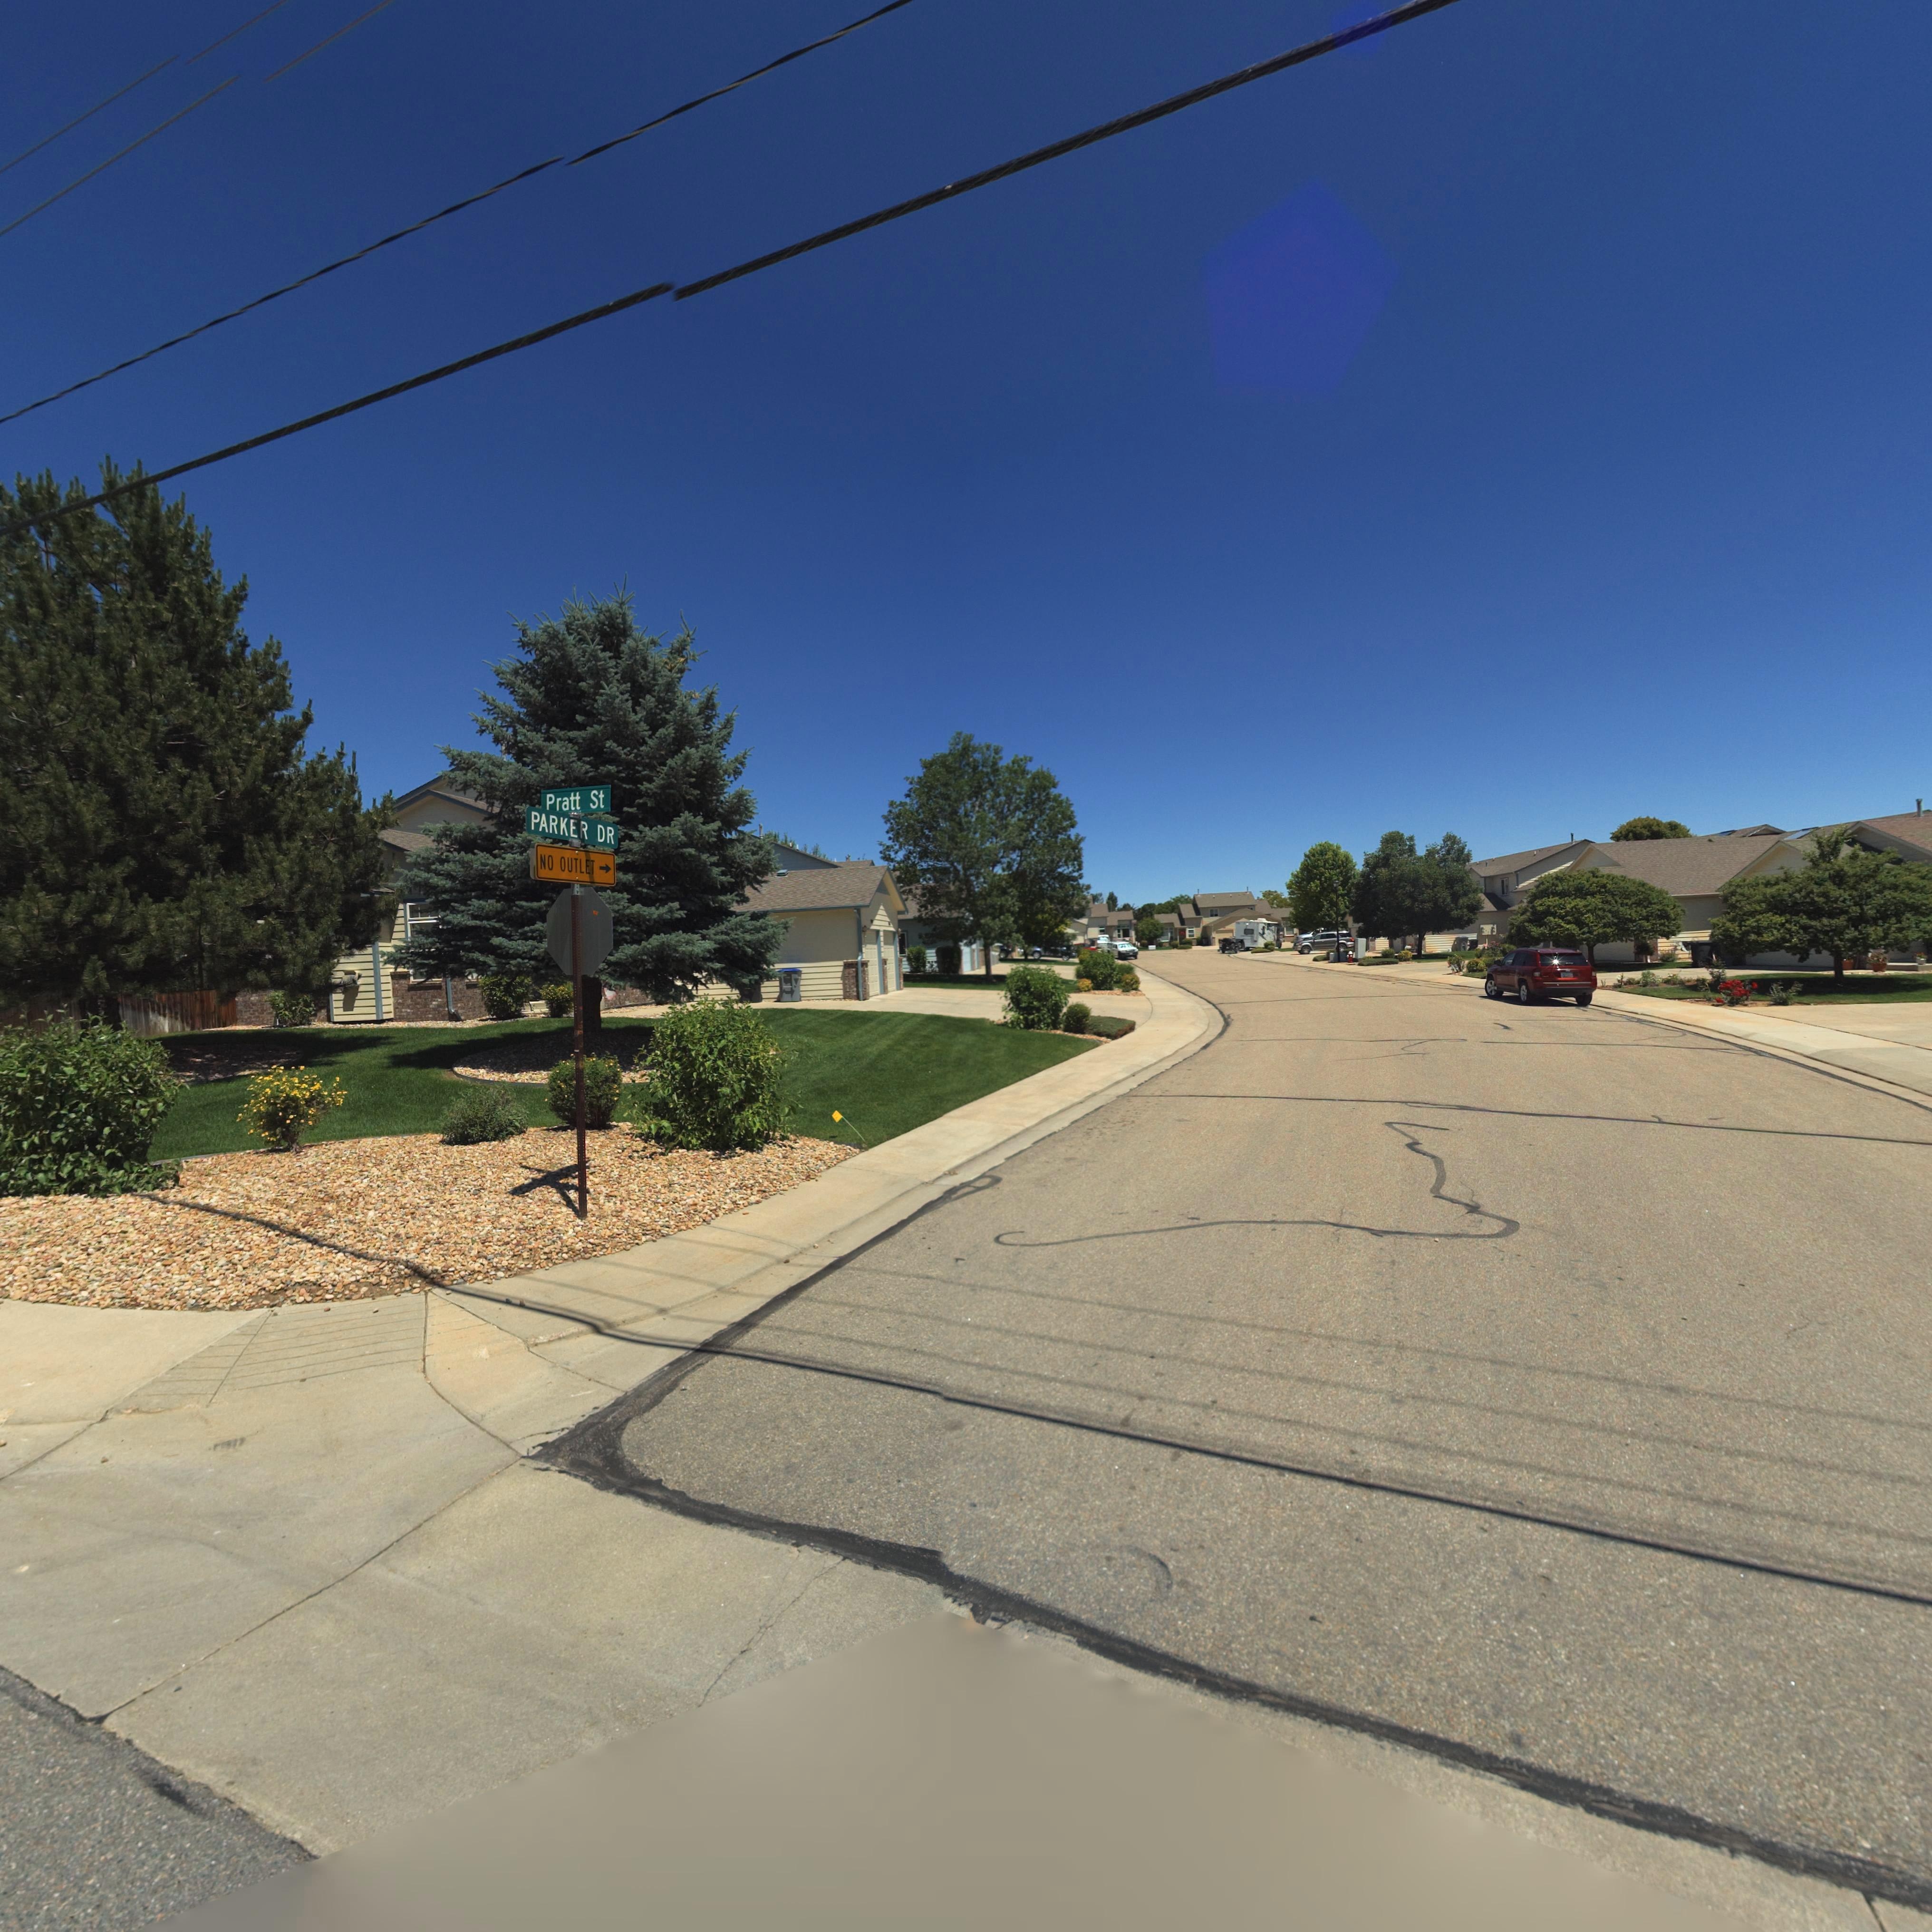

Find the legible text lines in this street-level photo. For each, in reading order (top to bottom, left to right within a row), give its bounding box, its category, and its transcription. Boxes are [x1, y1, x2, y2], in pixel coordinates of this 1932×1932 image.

[546, 789, 605, 811] StreetName: Pratt St
[530, 810, 615, 845] StreetName: PARKER DR